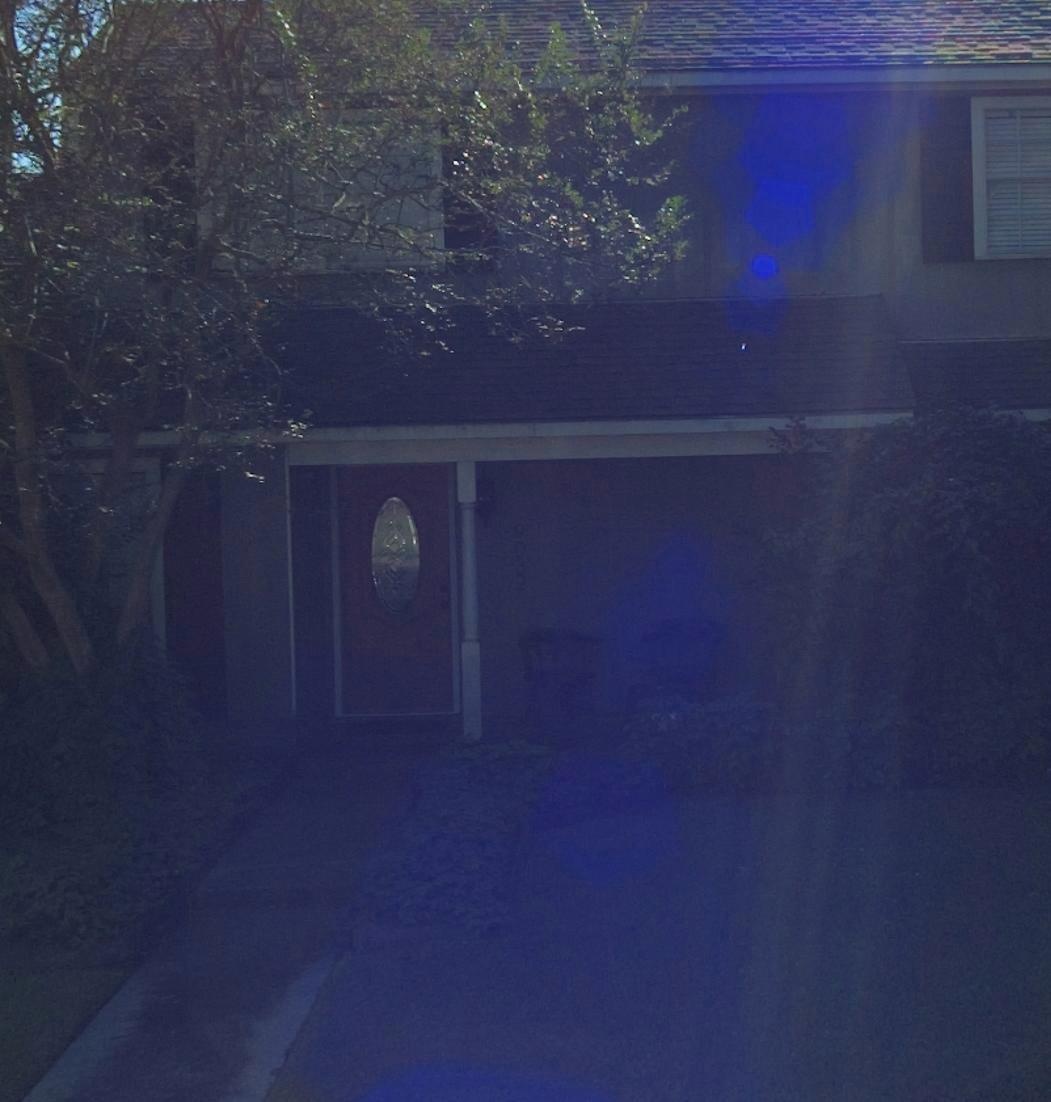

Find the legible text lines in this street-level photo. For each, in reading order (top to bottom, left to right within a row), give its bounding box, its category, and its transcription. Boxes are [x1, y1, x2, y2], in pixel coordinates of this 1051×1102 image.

[515, 504, 527, 586] StreetNumber: 9032